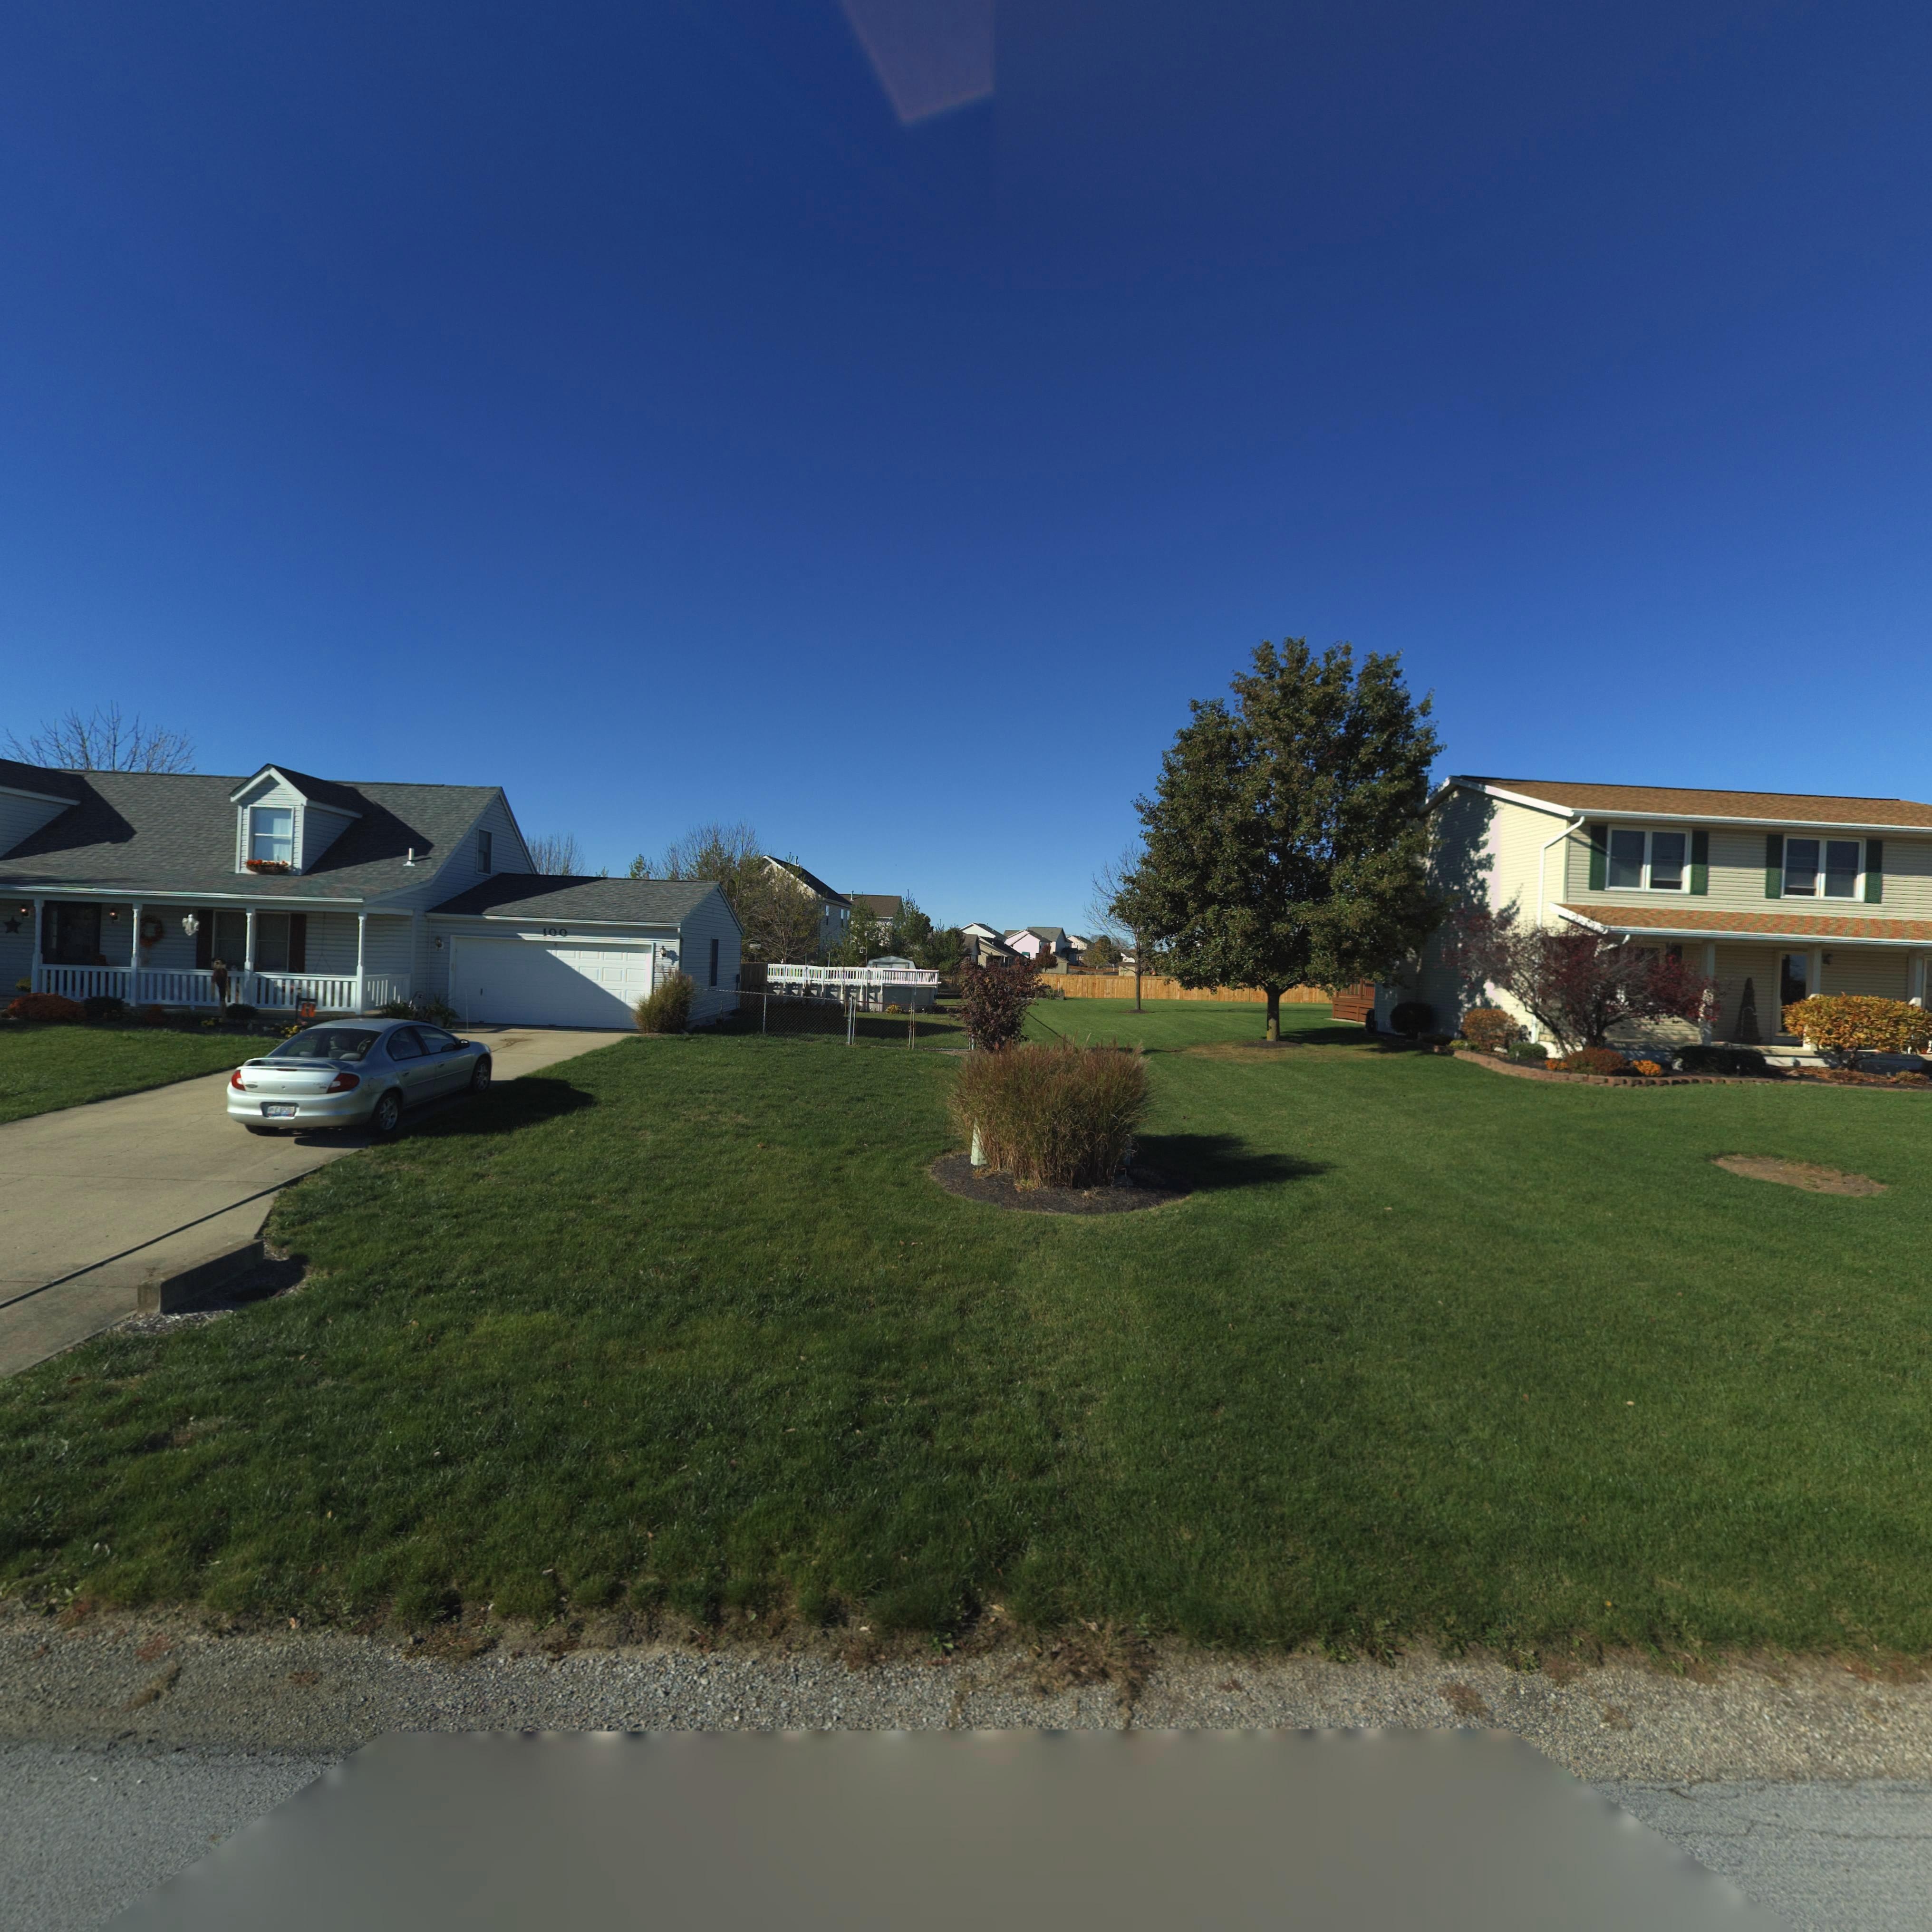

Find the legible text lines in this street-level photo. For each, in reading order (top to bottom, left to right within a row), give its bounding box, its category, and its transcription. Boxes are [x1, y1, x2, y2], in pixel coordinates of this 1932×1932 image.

[541, 927, 568, 937] StreetNumber: 100